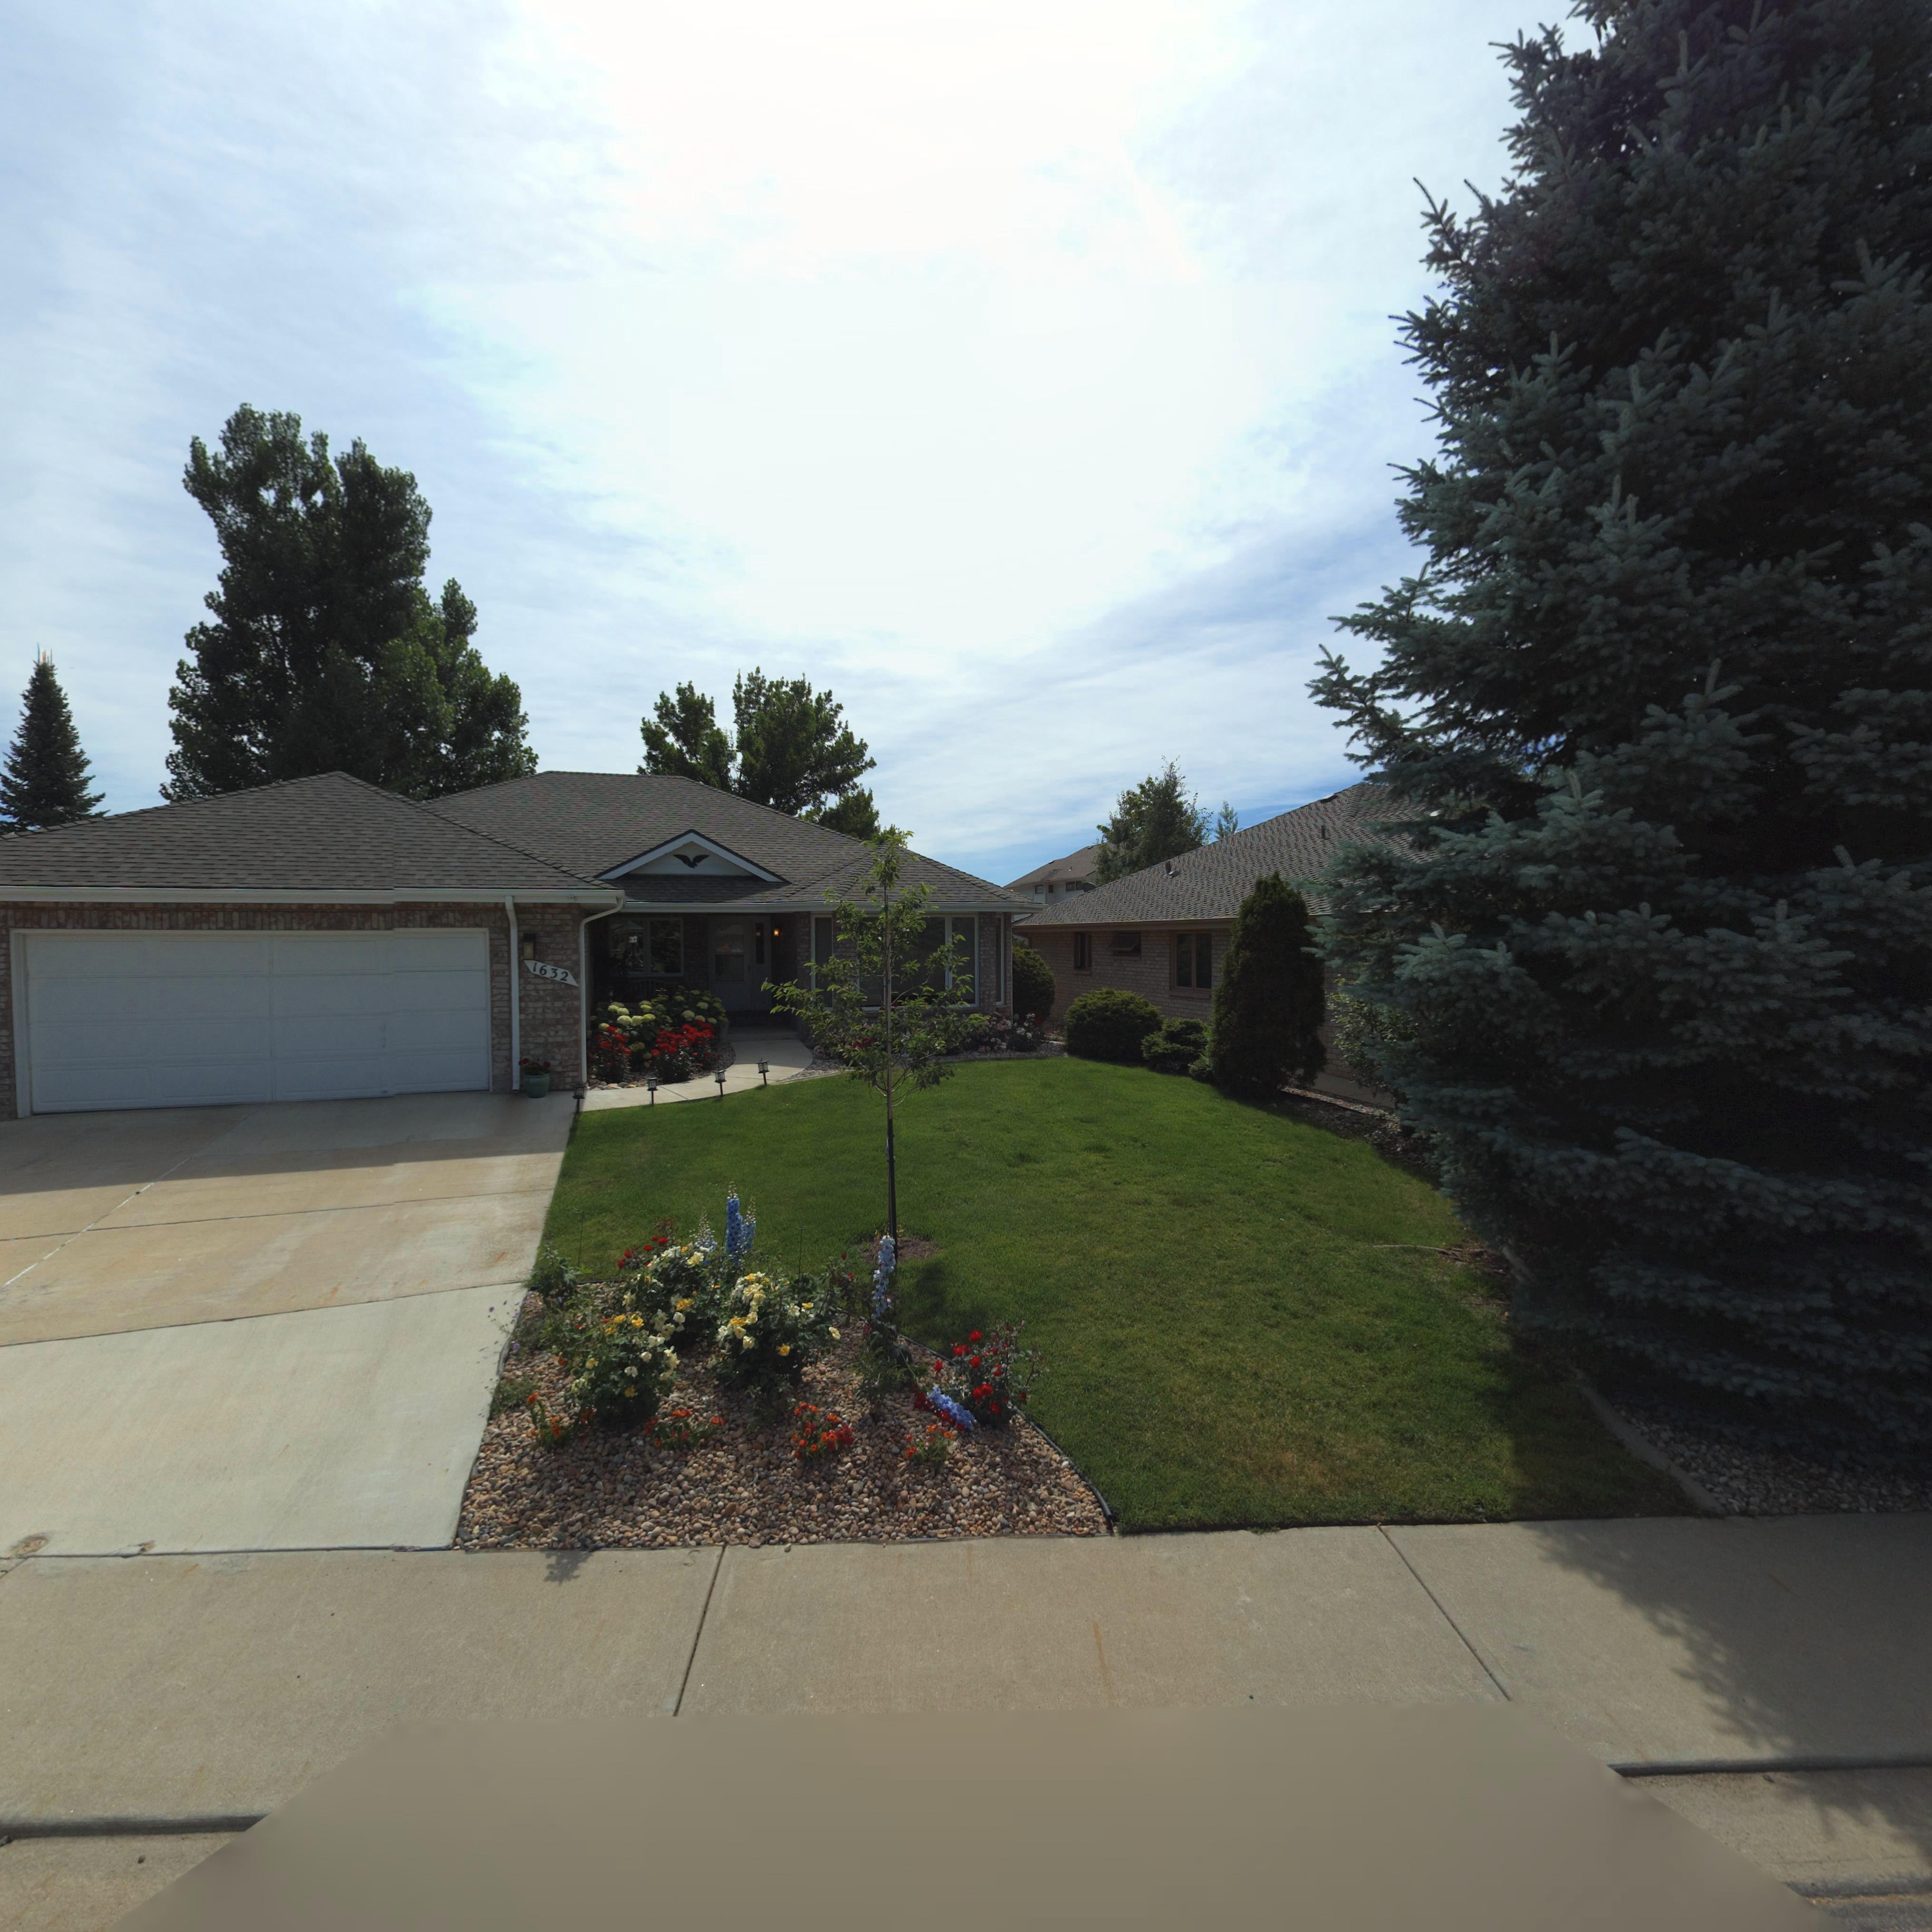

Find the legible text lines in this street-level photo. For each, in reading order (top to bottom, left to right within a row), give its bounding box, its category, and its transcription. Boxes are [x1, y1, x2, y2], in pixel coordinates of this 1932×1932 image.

[532, 961, 569, 982] StreetNumber: 1632